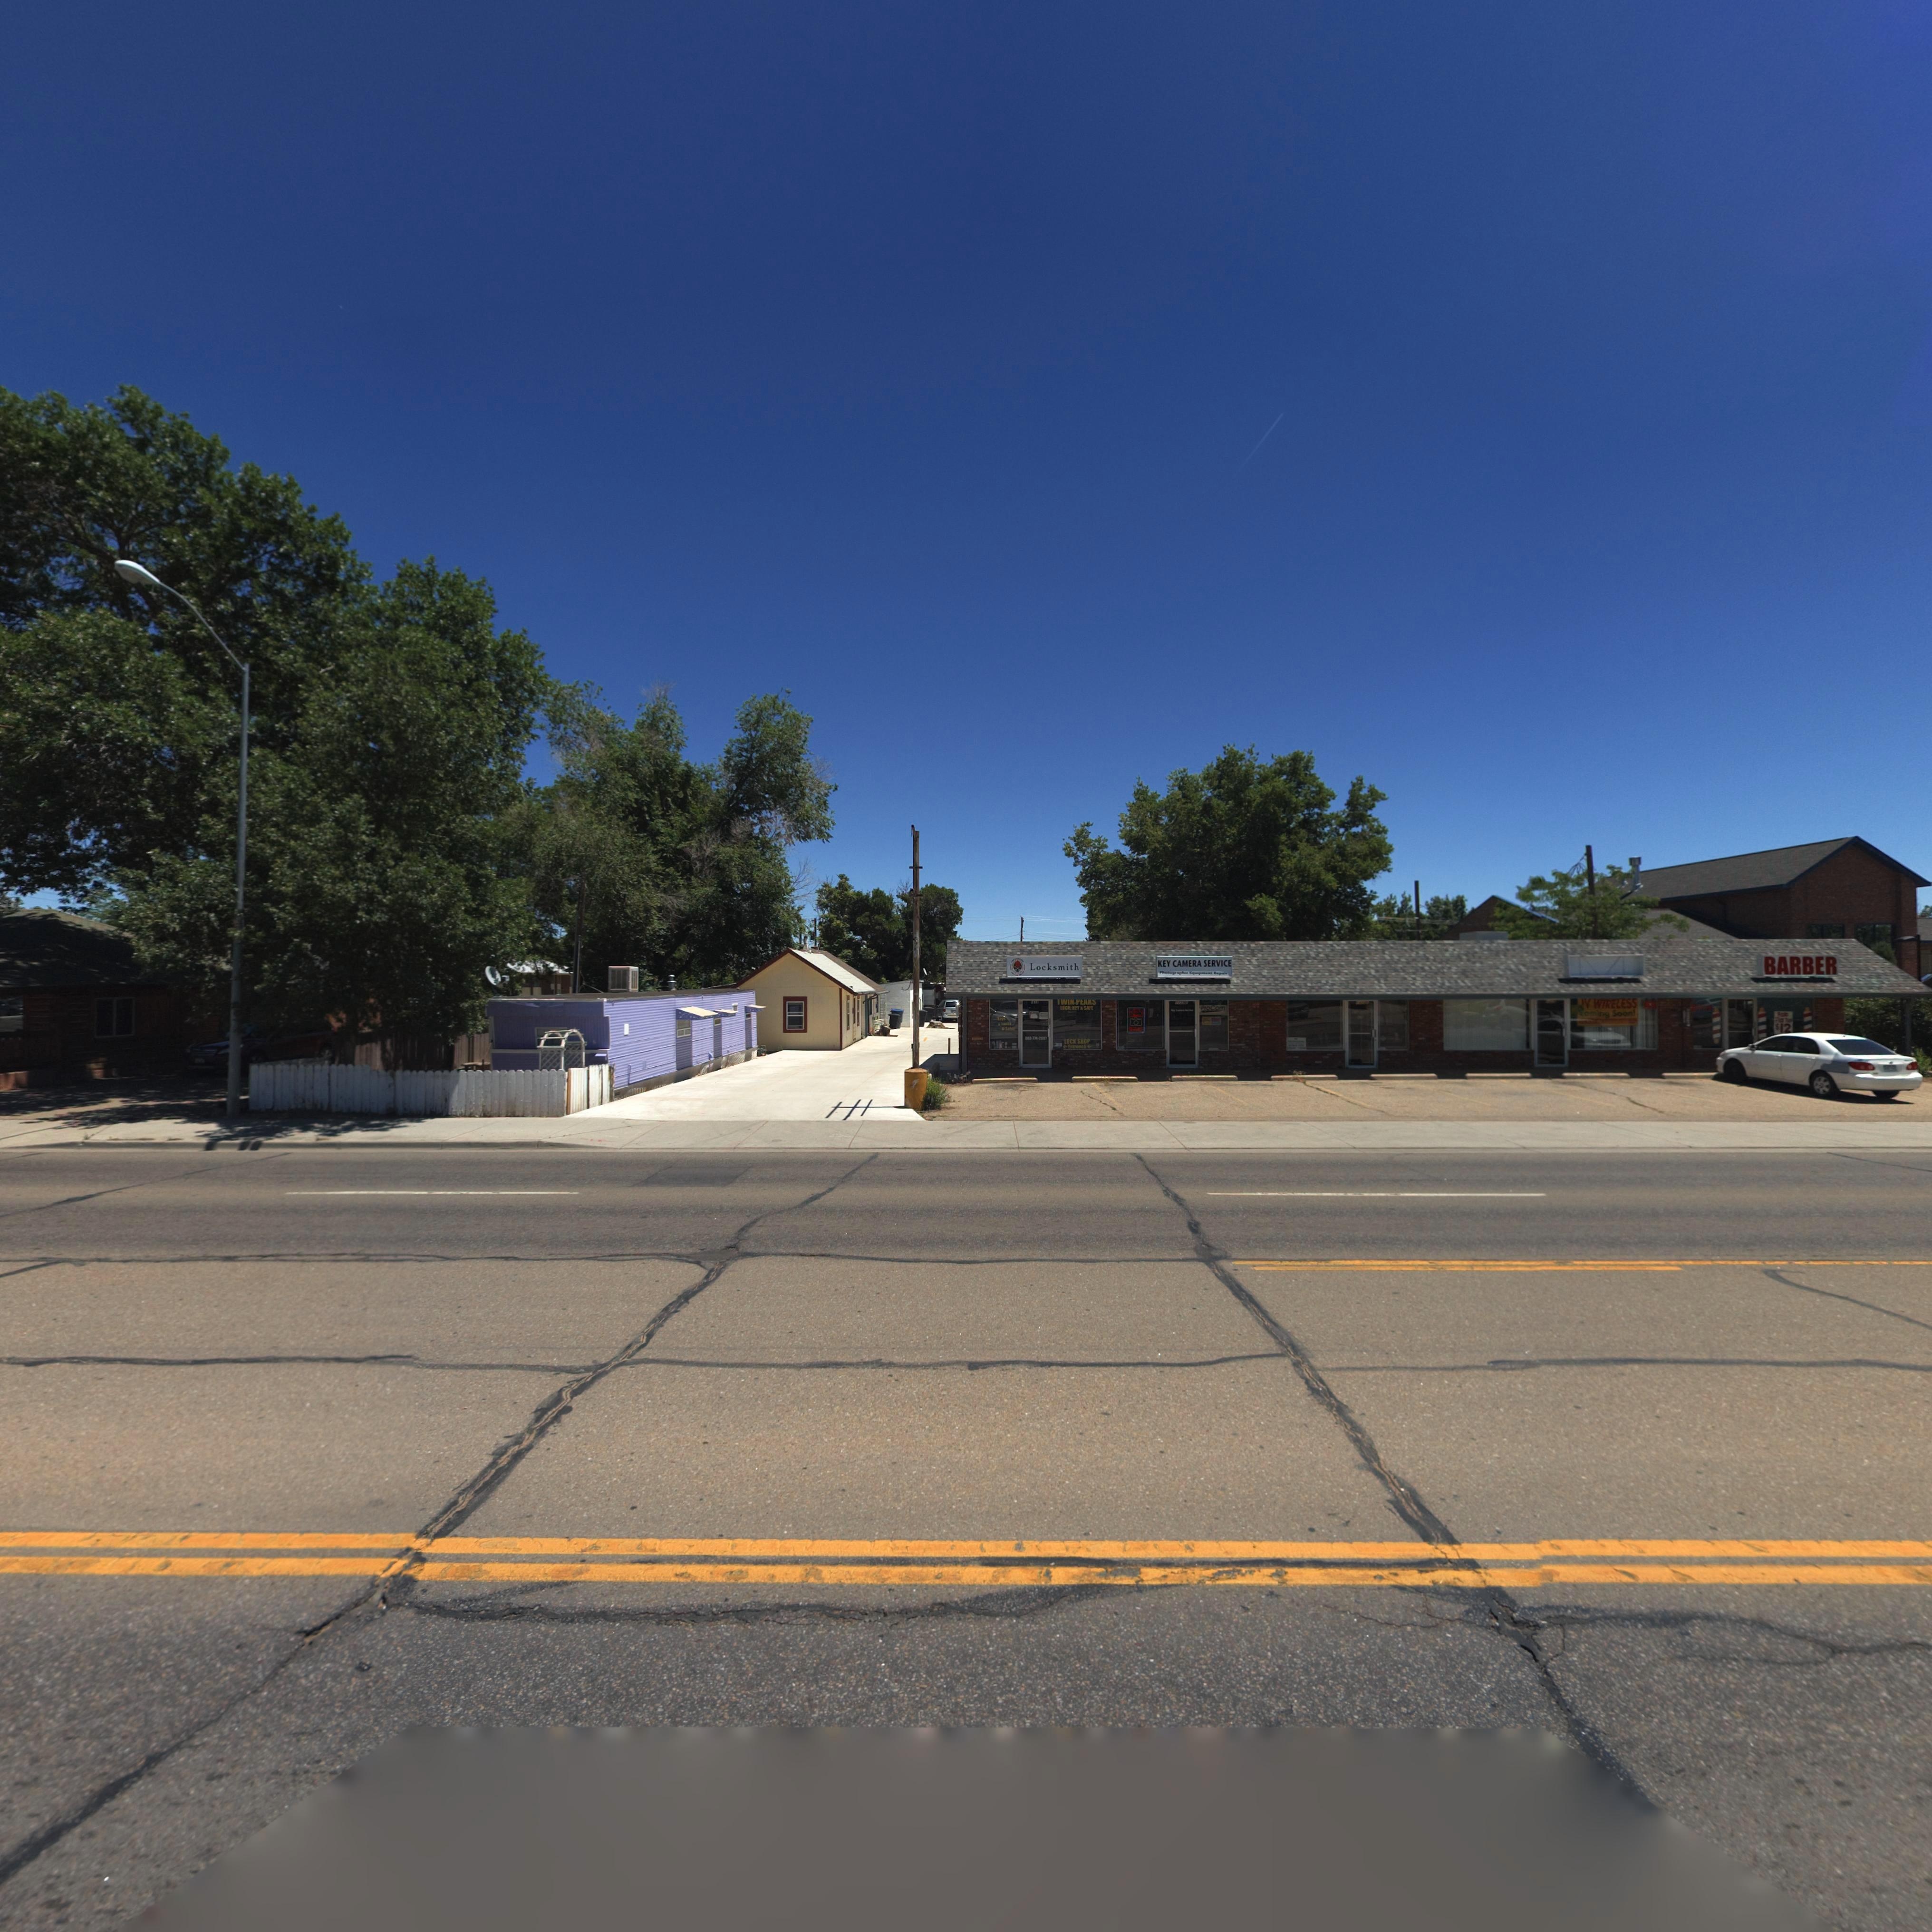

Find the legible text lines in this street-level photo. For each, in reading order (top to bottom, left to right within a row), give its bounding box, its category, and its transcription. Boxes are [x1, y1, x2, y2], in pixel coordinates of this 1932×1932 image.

[1158, 959, 1232, 967] BusinessName: KEY CAMERA SERVICE